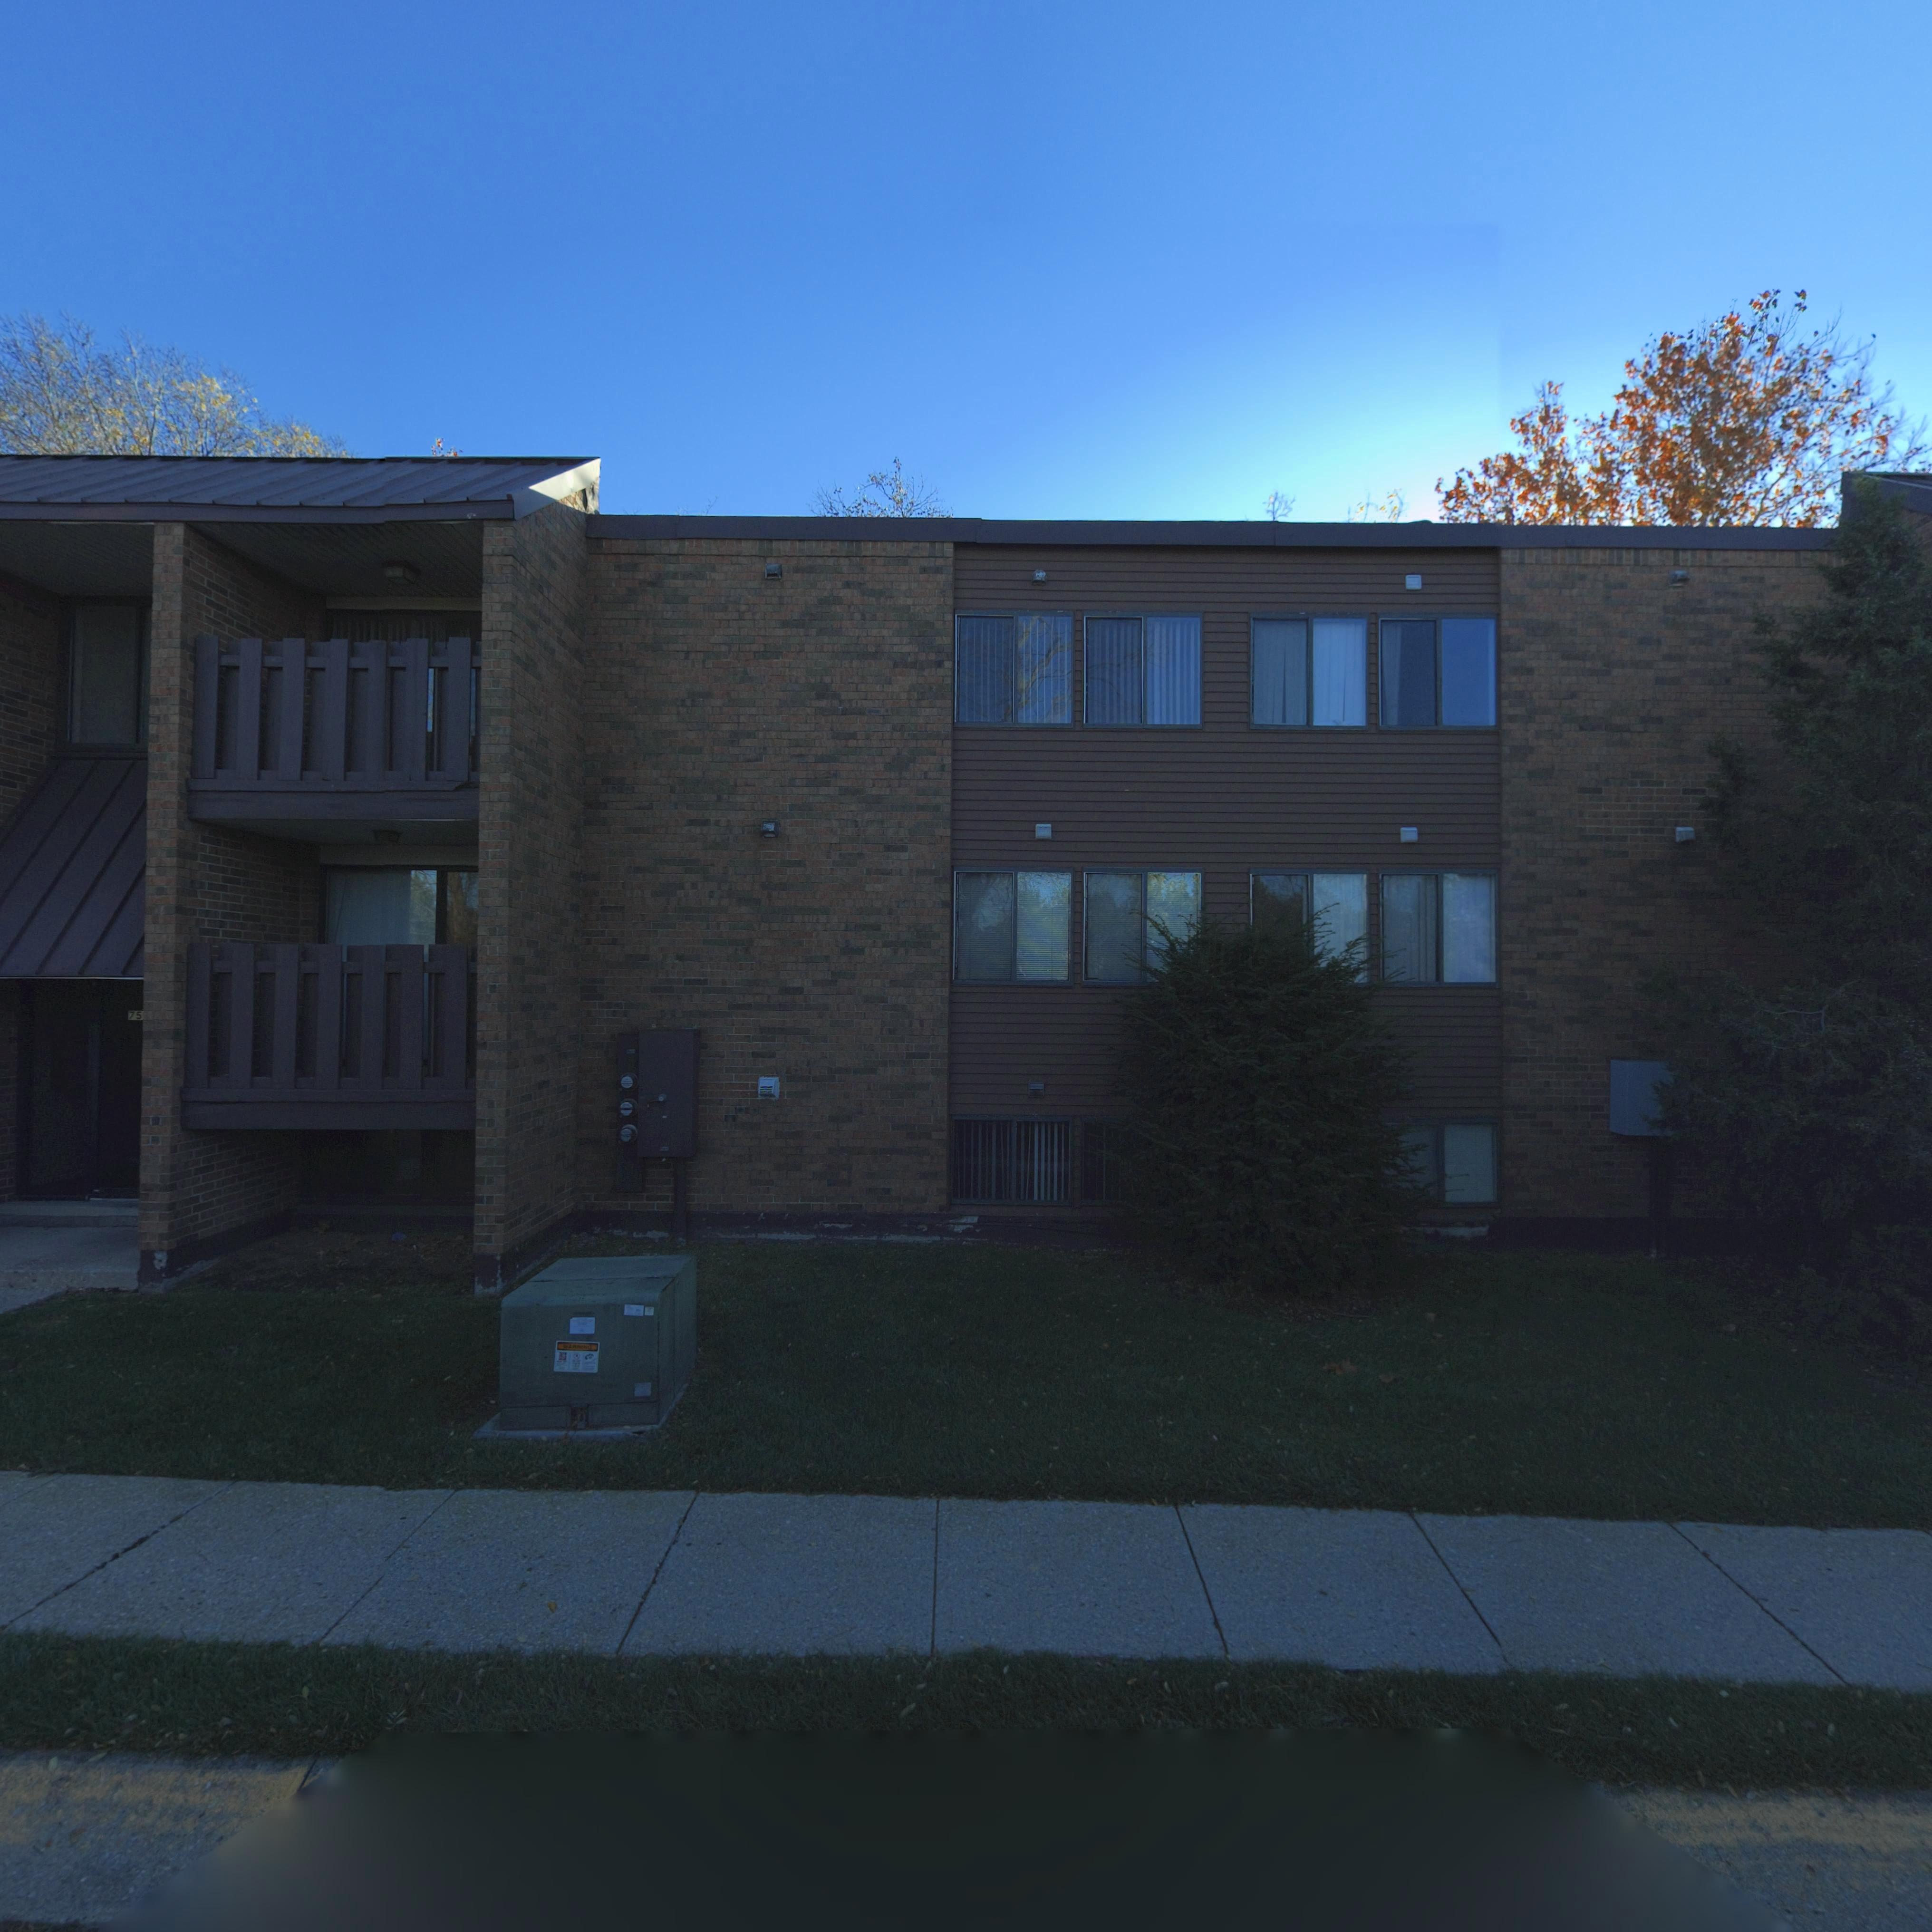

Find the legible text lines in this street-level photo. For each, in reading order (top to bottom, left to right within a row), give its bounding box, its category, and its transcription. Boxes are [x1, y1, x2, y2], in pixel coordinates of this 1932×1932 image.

[128, 1011, 142, 1020] StreetNumber: 75